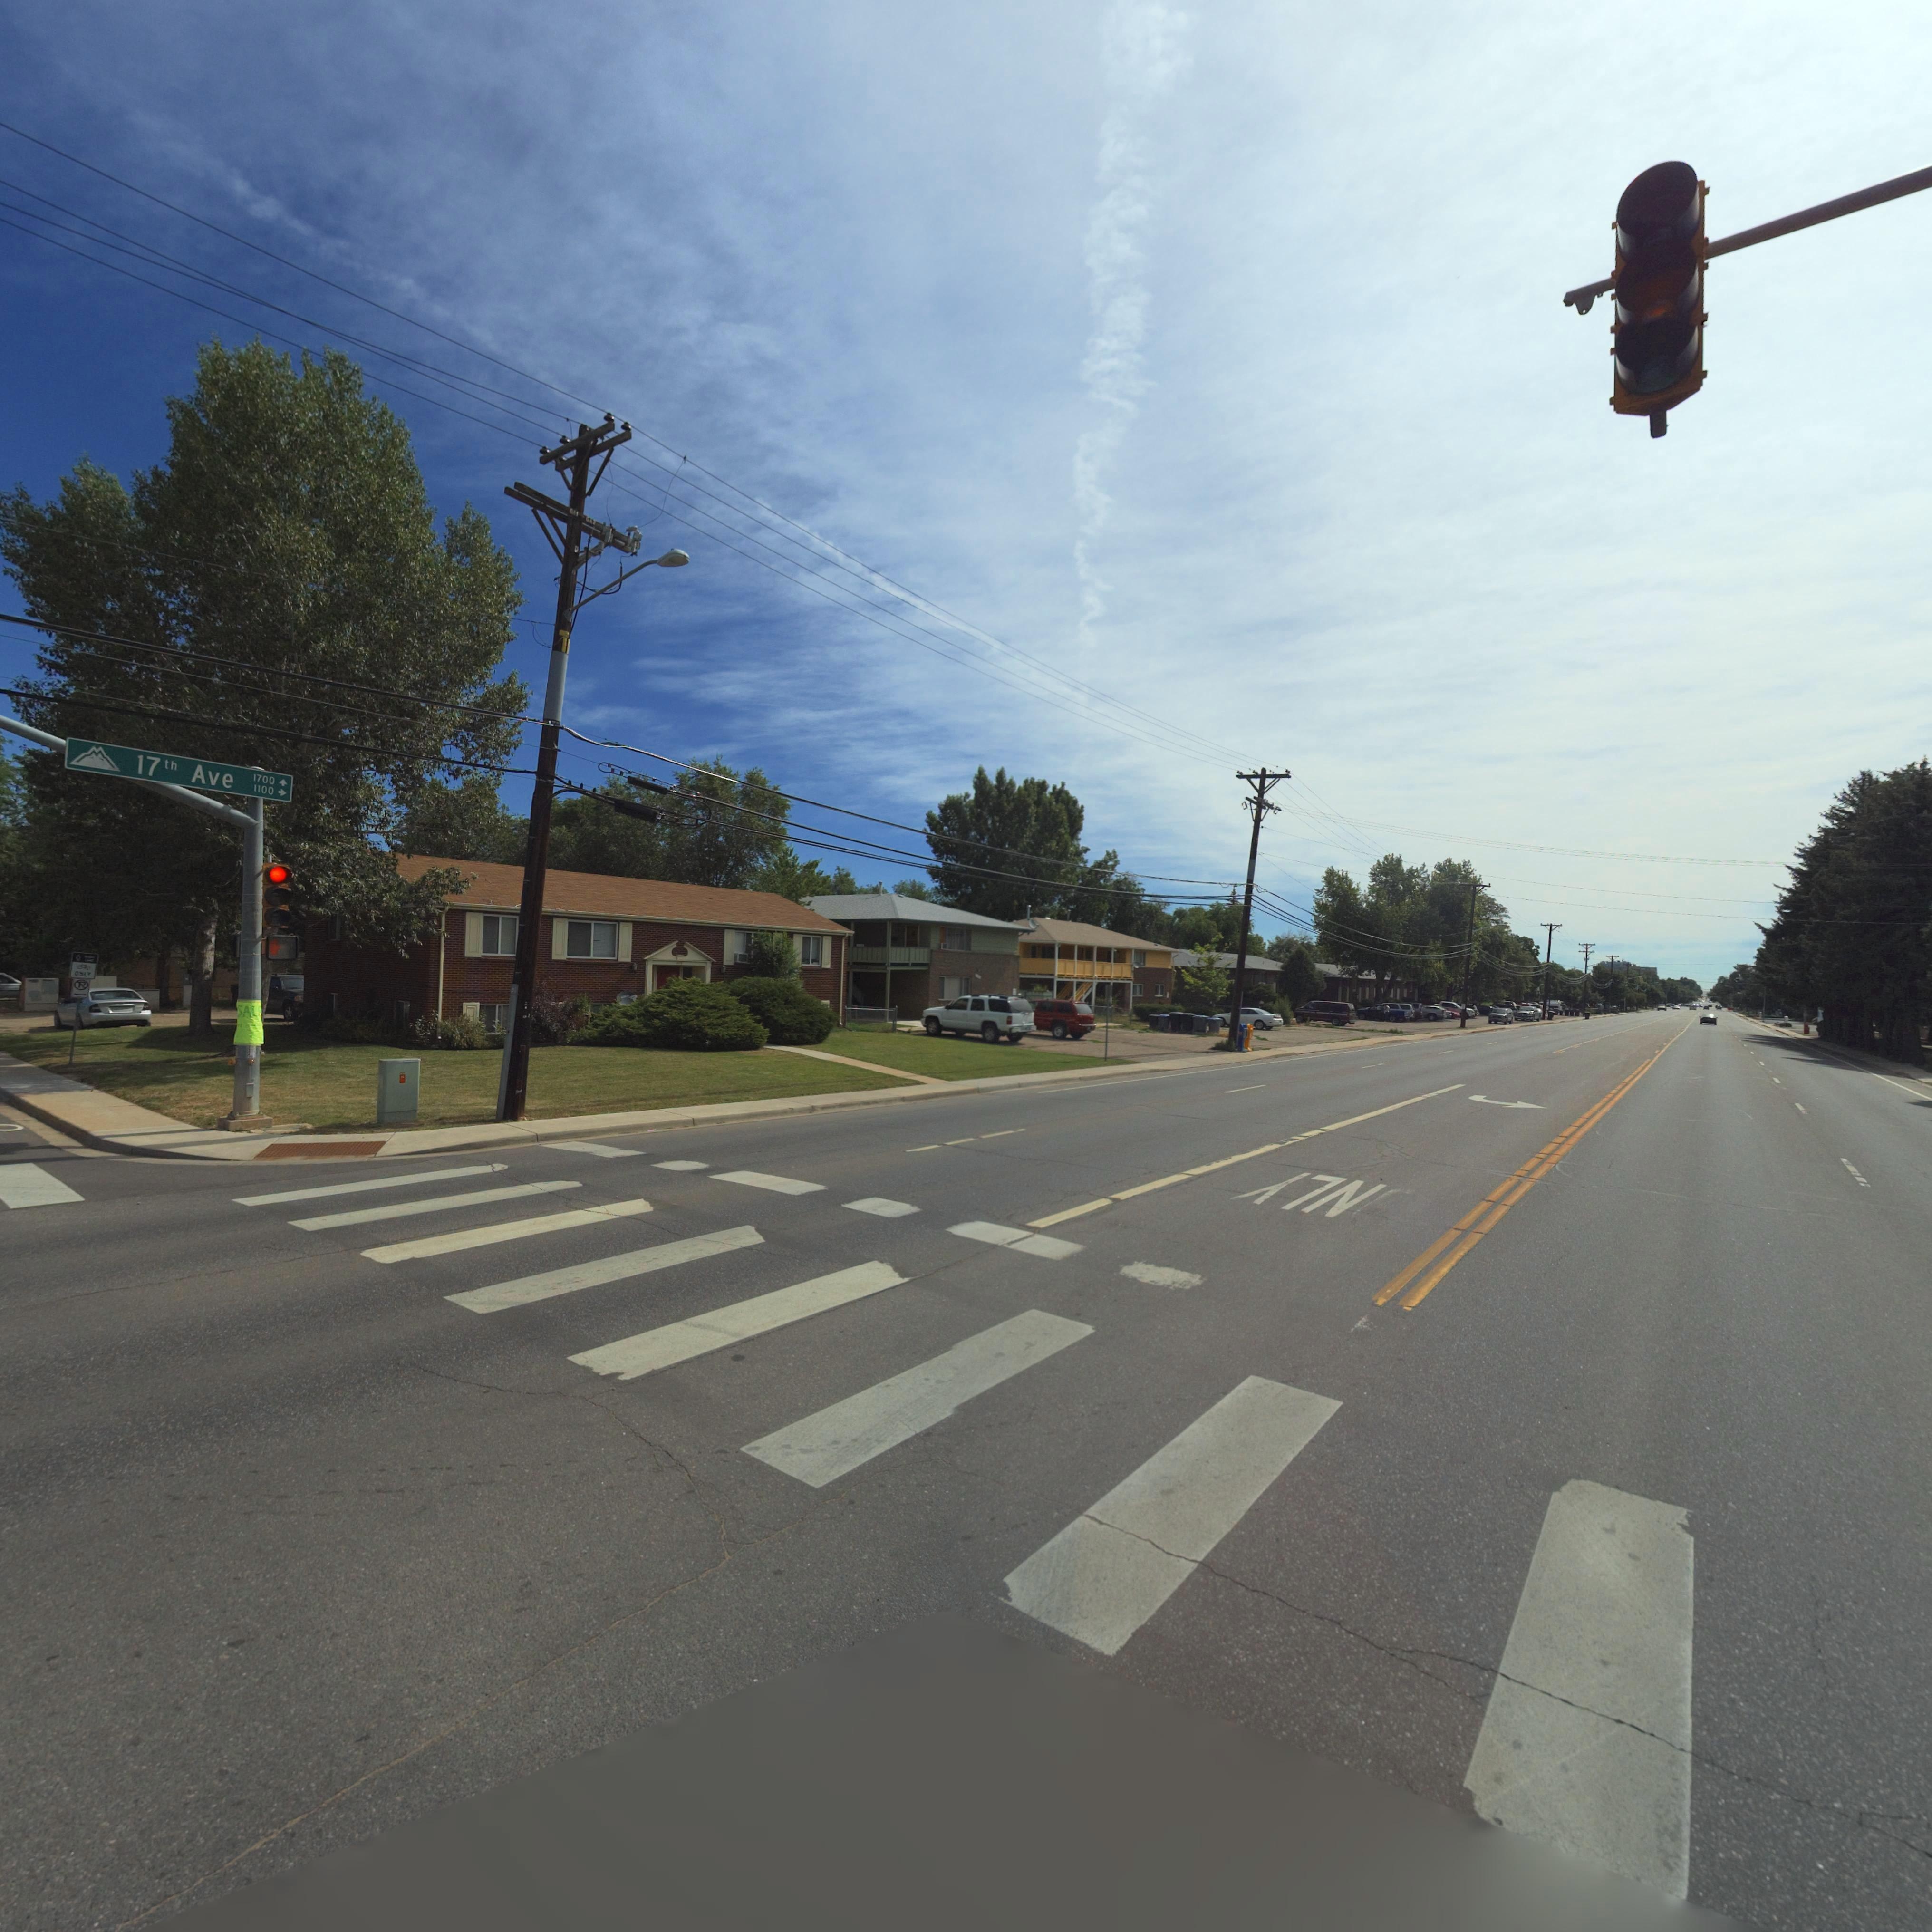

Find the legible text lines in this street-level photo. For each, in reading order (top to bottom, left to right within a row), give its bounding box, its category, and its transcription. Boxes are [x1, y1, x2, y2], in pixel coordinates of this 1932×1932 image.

[135, 753, 234, 789] StreetName: 17th Ave
[253, 773, 276, 785] StreetNumberRange: 1700
[253, 783, 288, 797] StreetNumberRange: 1100->